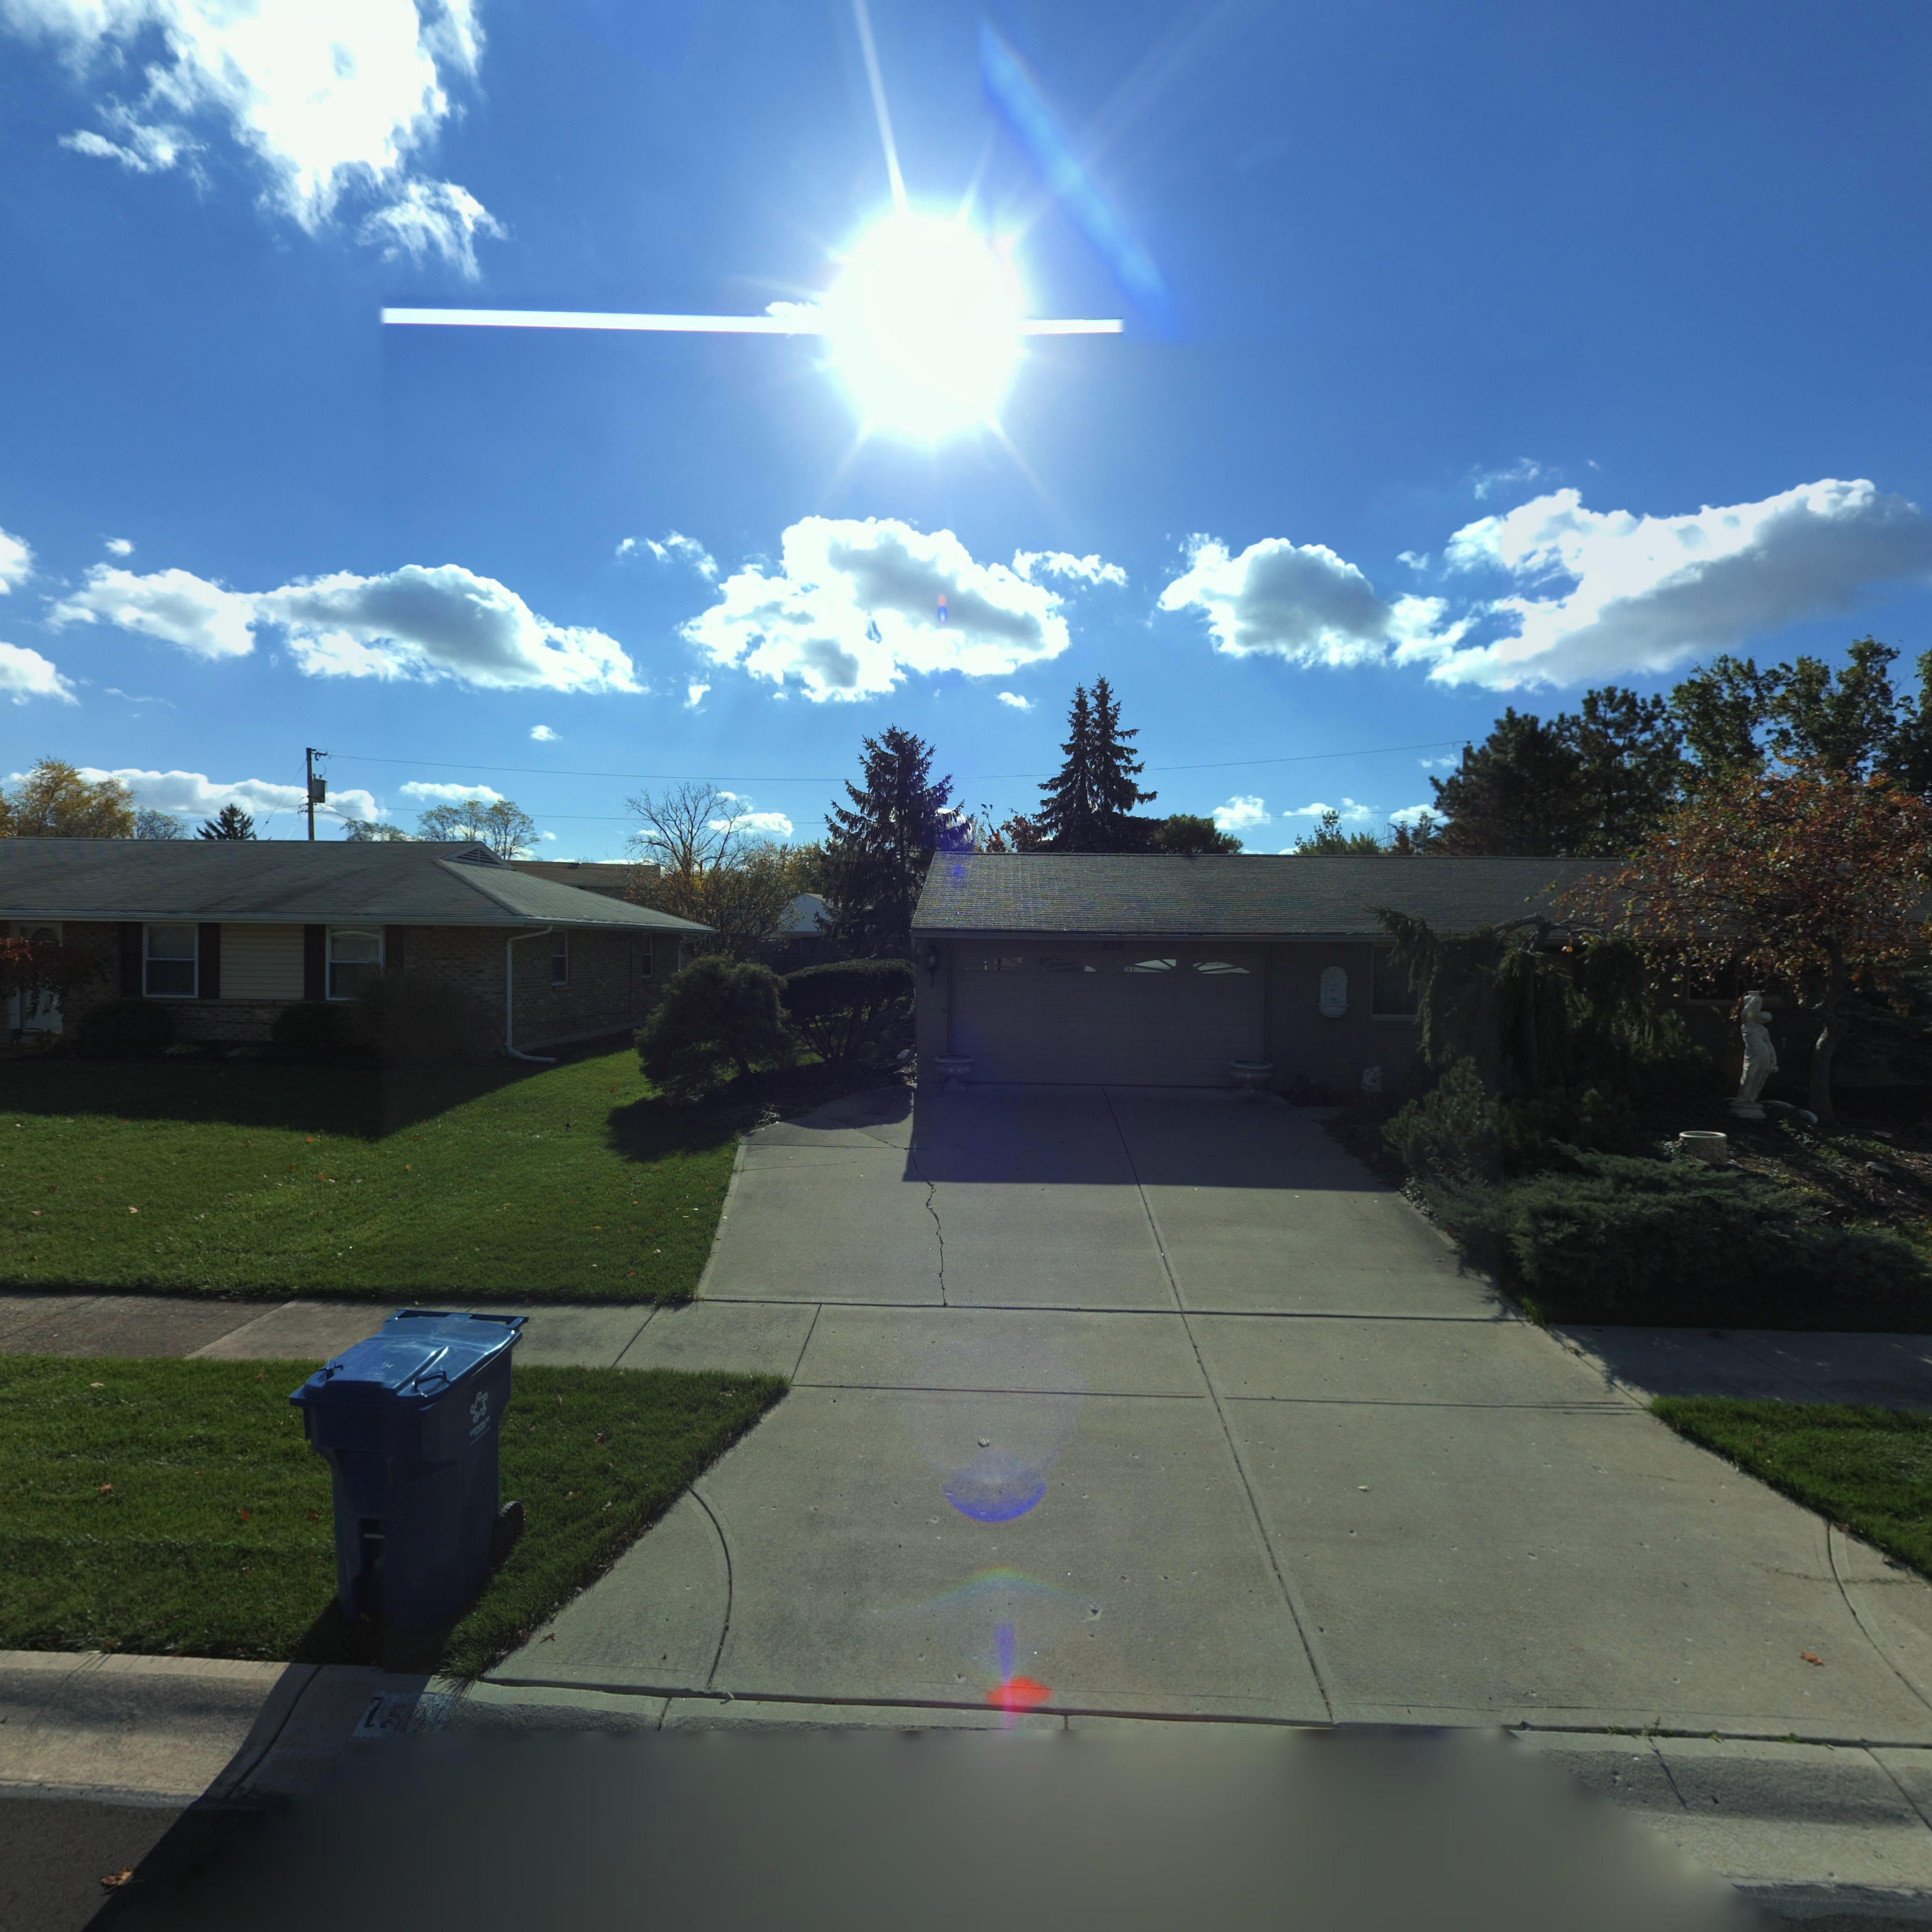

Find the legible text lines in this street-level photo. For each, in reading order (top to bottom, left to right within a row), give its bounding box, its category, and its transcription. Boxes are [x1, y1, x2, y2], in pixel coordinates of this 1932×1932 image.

[1095, 939, 1123, 951] StreetNumber: *250
[361, 1695, 387, 1729] StreetNumber: 7